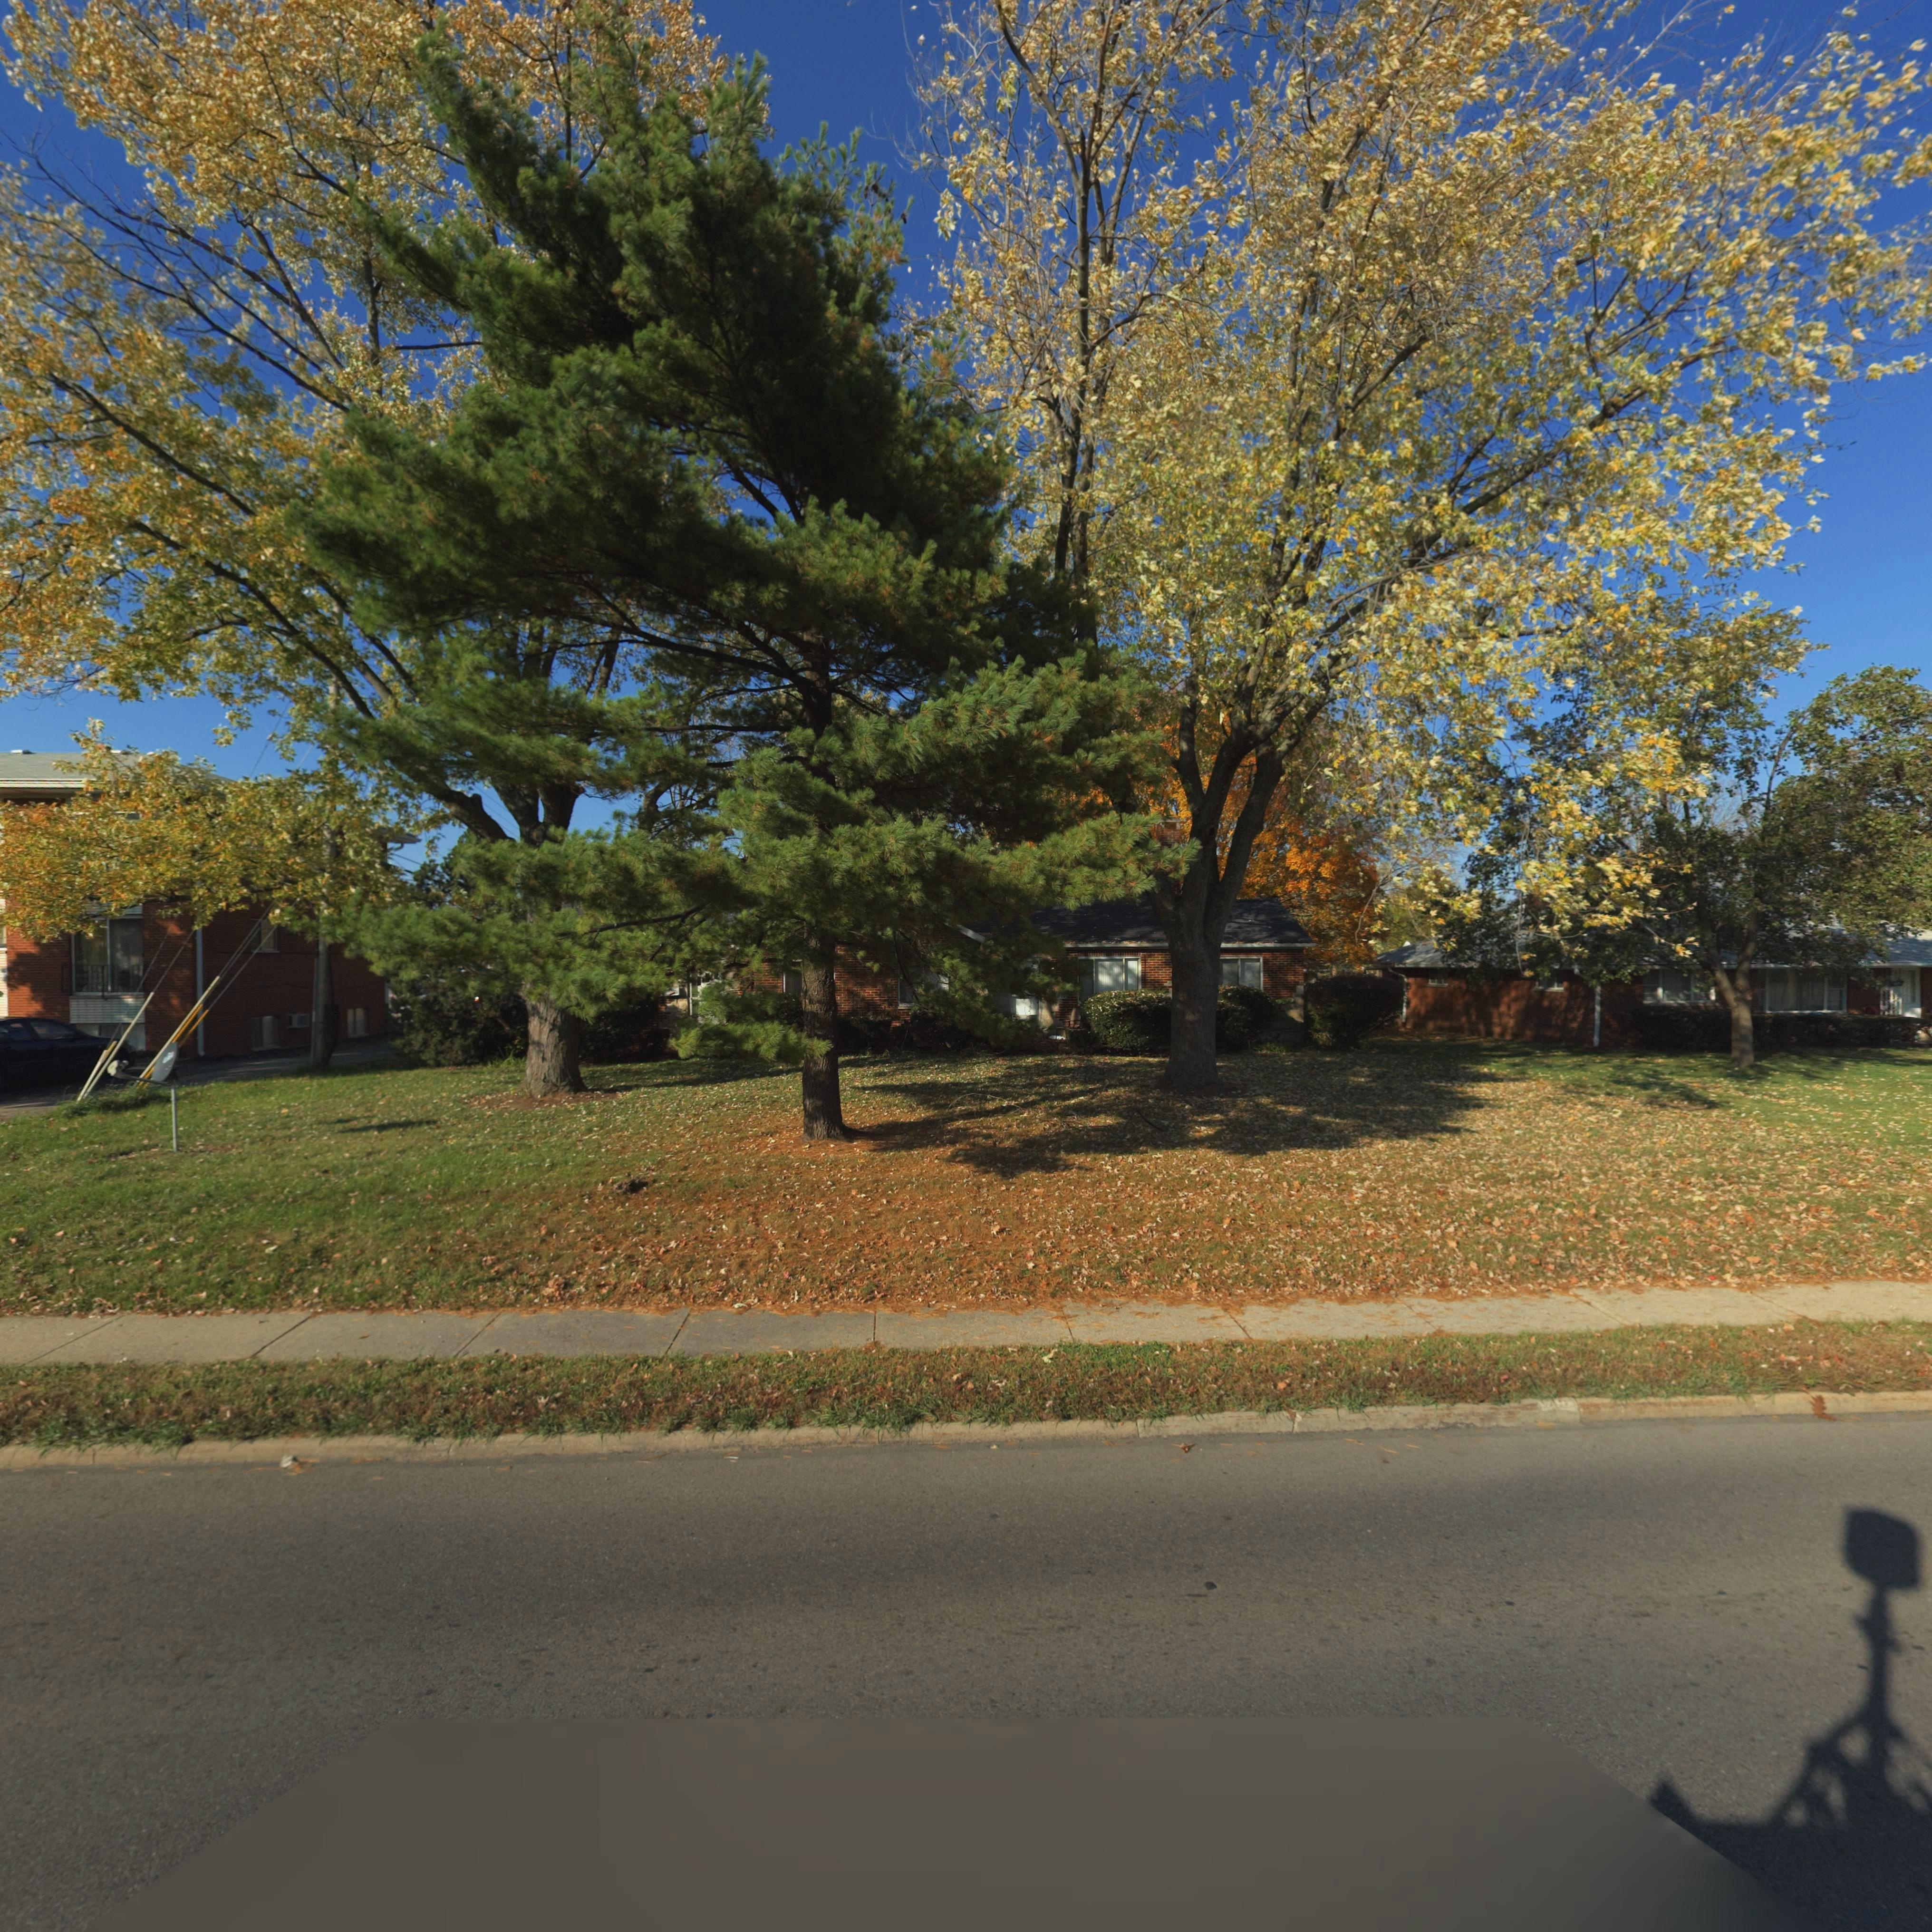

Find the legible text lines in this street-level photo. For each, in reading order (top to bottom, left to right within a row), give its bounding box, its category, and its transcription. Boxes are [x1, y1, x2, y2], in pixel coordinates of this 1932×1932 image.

[1057, 993, 1066, 998] StreetNumber: 61*